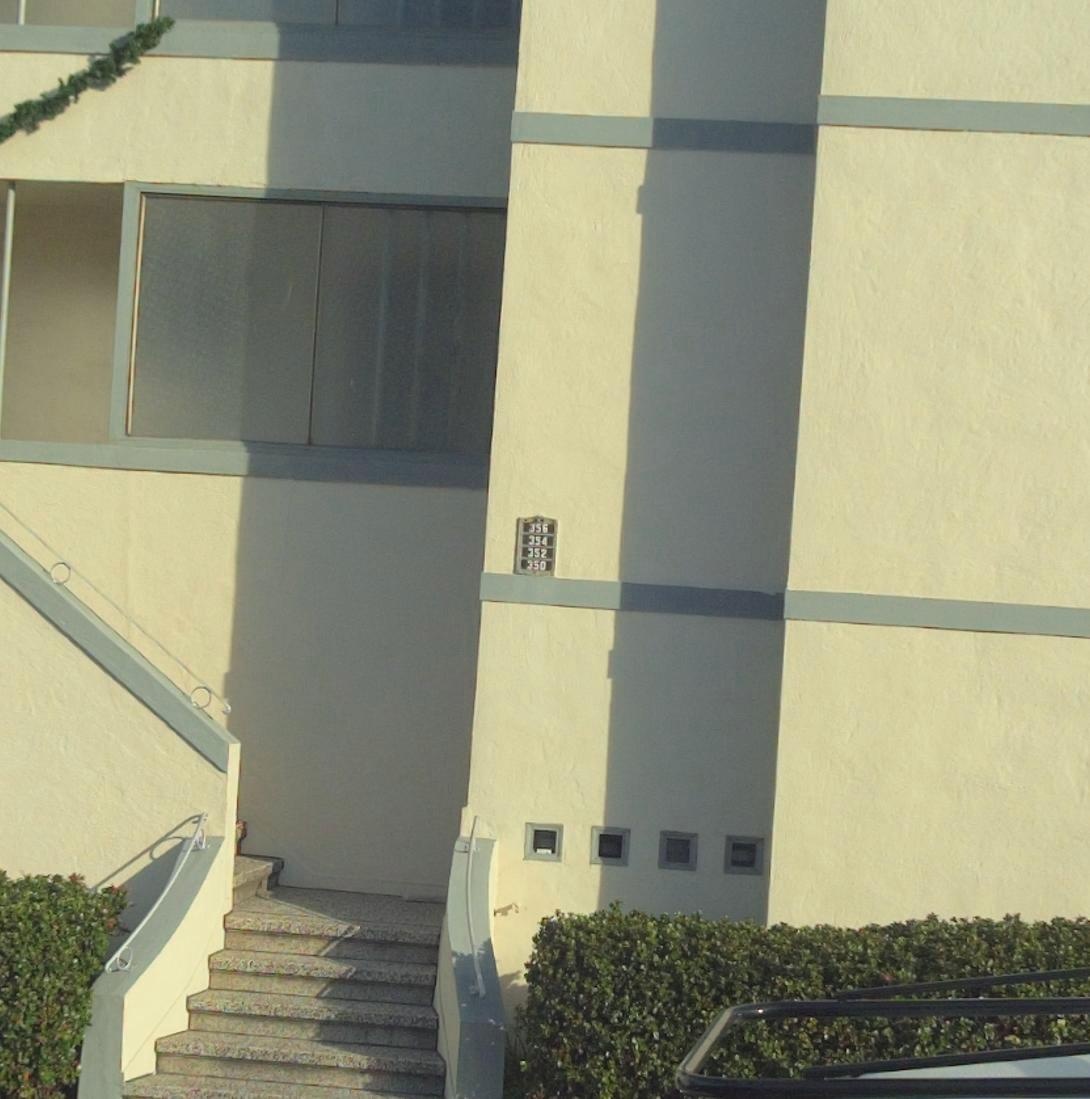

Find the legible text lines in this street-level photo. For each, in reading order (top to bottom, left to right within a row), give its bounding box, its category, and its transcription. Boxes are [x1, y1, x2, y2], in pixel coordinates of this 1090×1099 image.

[527, 521, 550, 535] StreetNumber: 356
[527, 534, 549, 548] StreetNumber: 354
[526, 546, 549, 560] StreetNumber: 352
[525, 558, 548, 573] StreetNumber: 350